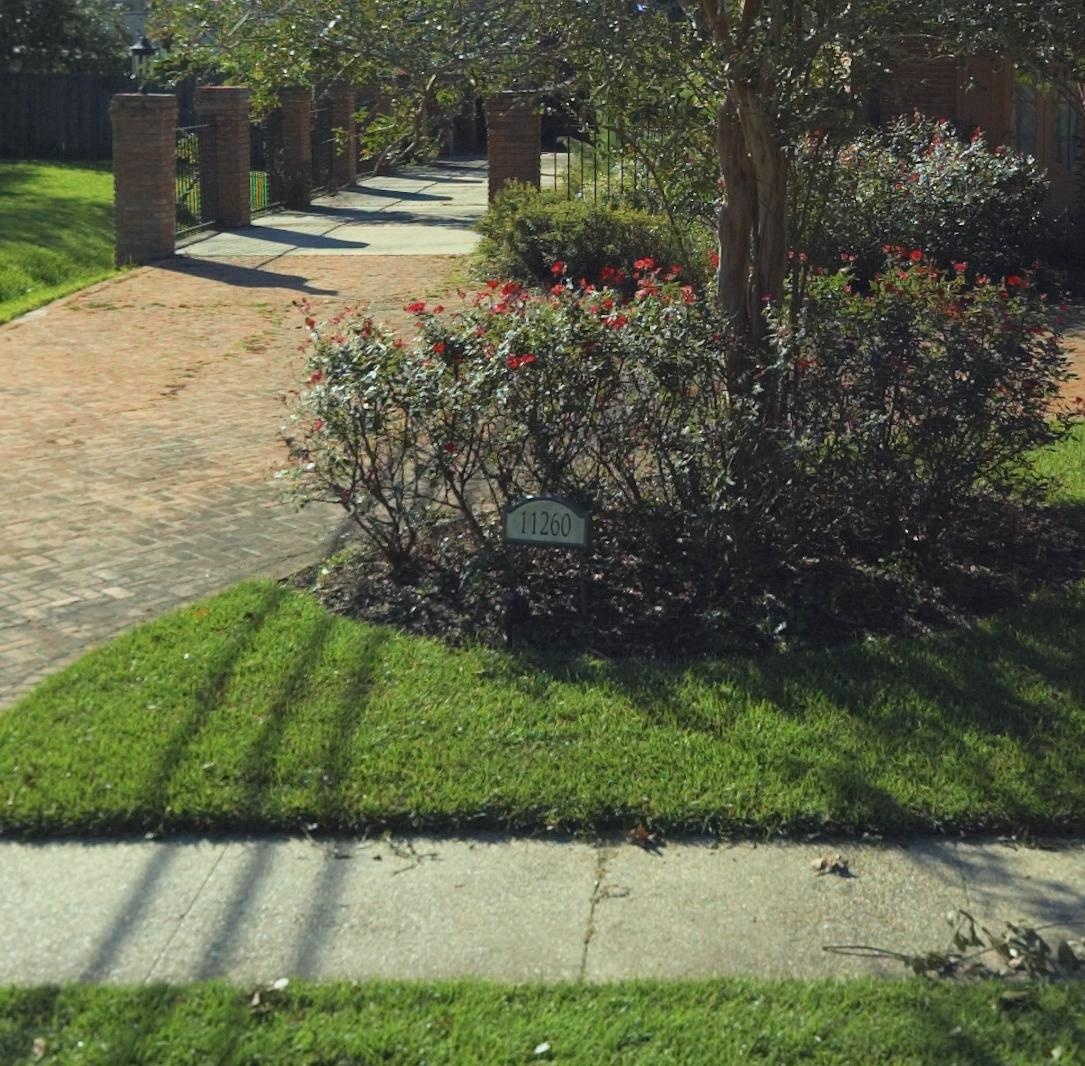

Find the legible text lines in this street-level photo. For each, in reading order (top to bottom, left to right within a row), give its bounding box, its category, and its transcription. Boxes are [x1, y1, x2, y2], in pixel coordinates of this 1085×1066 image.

[519, 508, 574, 539] StreetNumber: 11260